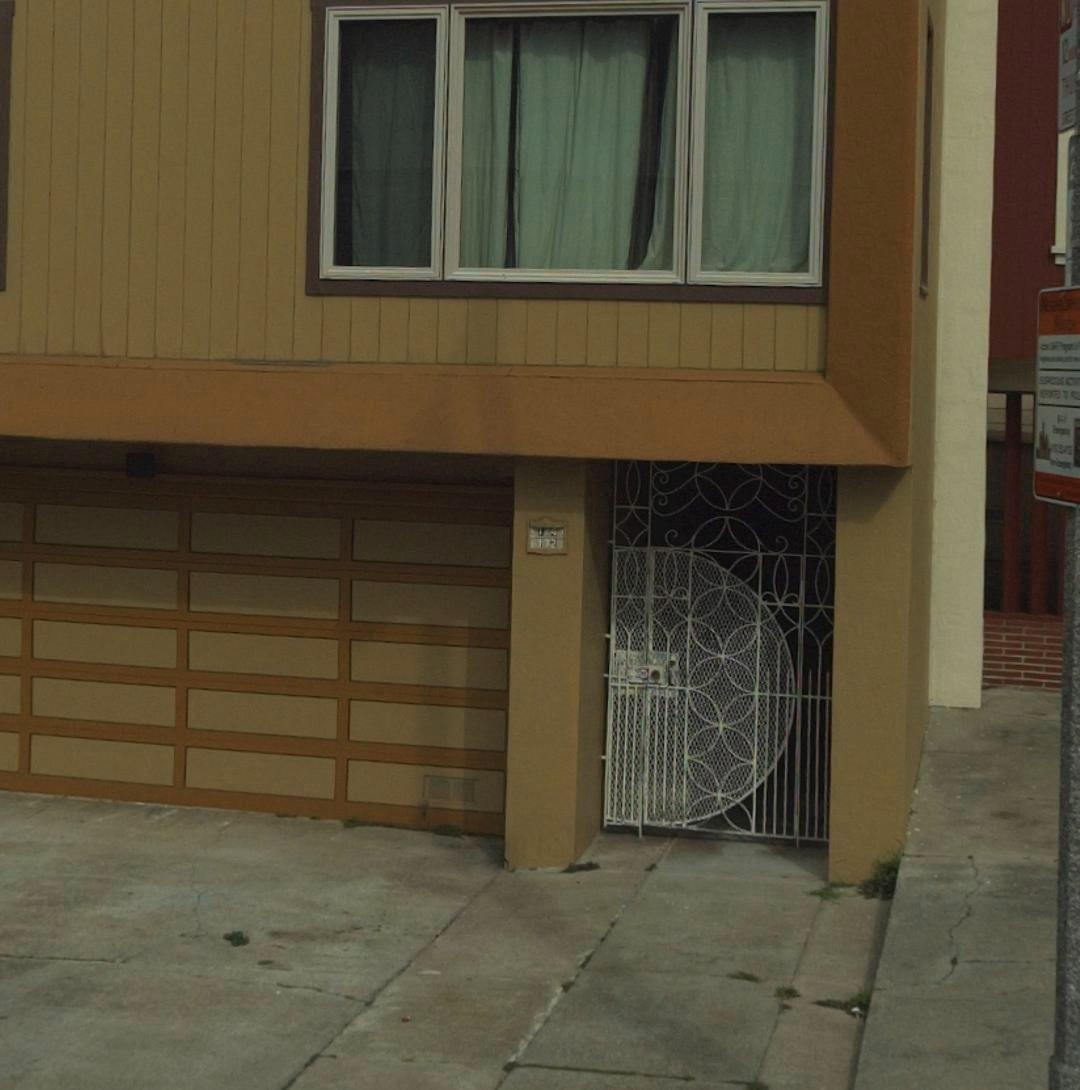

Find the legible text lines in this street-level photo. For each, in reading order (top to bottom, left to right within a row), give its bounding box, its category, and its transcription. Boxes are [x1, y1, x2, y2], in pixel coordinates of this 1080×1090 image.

[1038, 375, 1066, 387] None: SUSPICIOUS
[1038, 388, 1070, 401] None: REPORTED TO
[536, 526, 558, 537] StreetNumber: 174
[536, 537, 558, 550] StreetNumber: 172